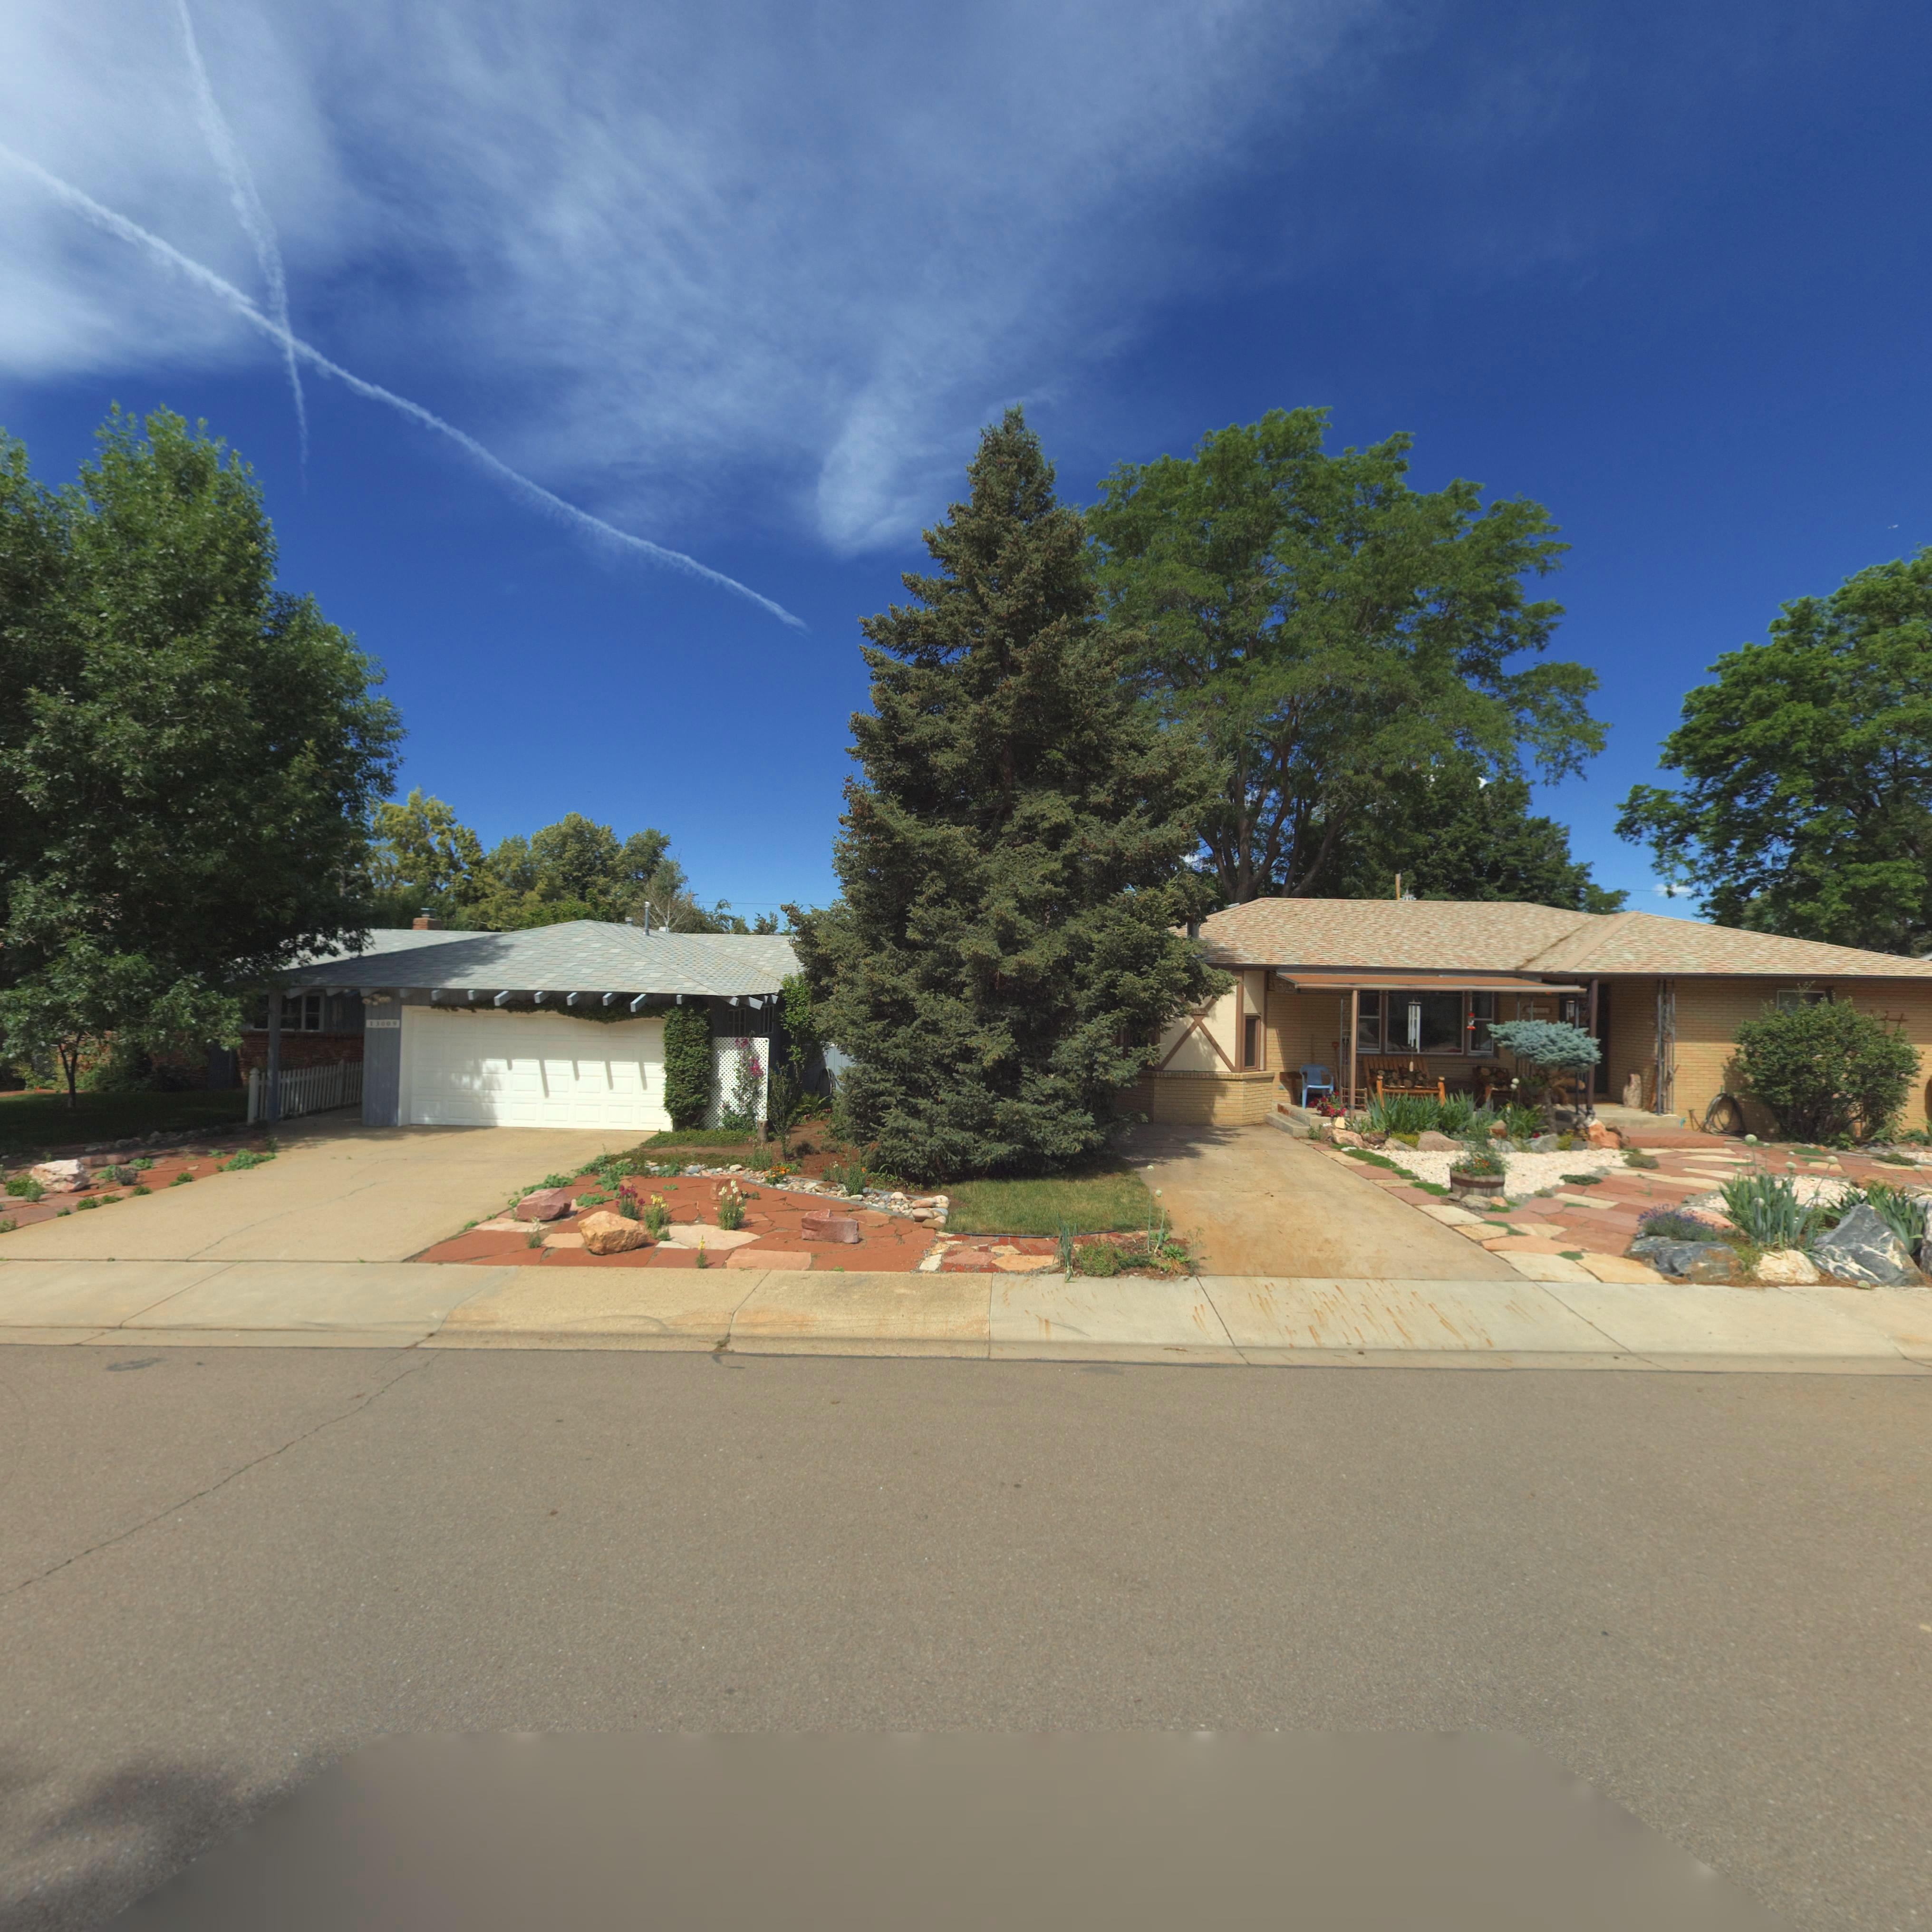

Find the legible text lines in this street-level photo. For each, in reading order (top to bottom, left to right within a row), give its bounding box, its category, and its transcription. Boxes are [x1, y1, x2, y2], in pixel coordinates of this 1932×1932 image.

[370, 1020, 397, 1026] StreetNumber: 130*9